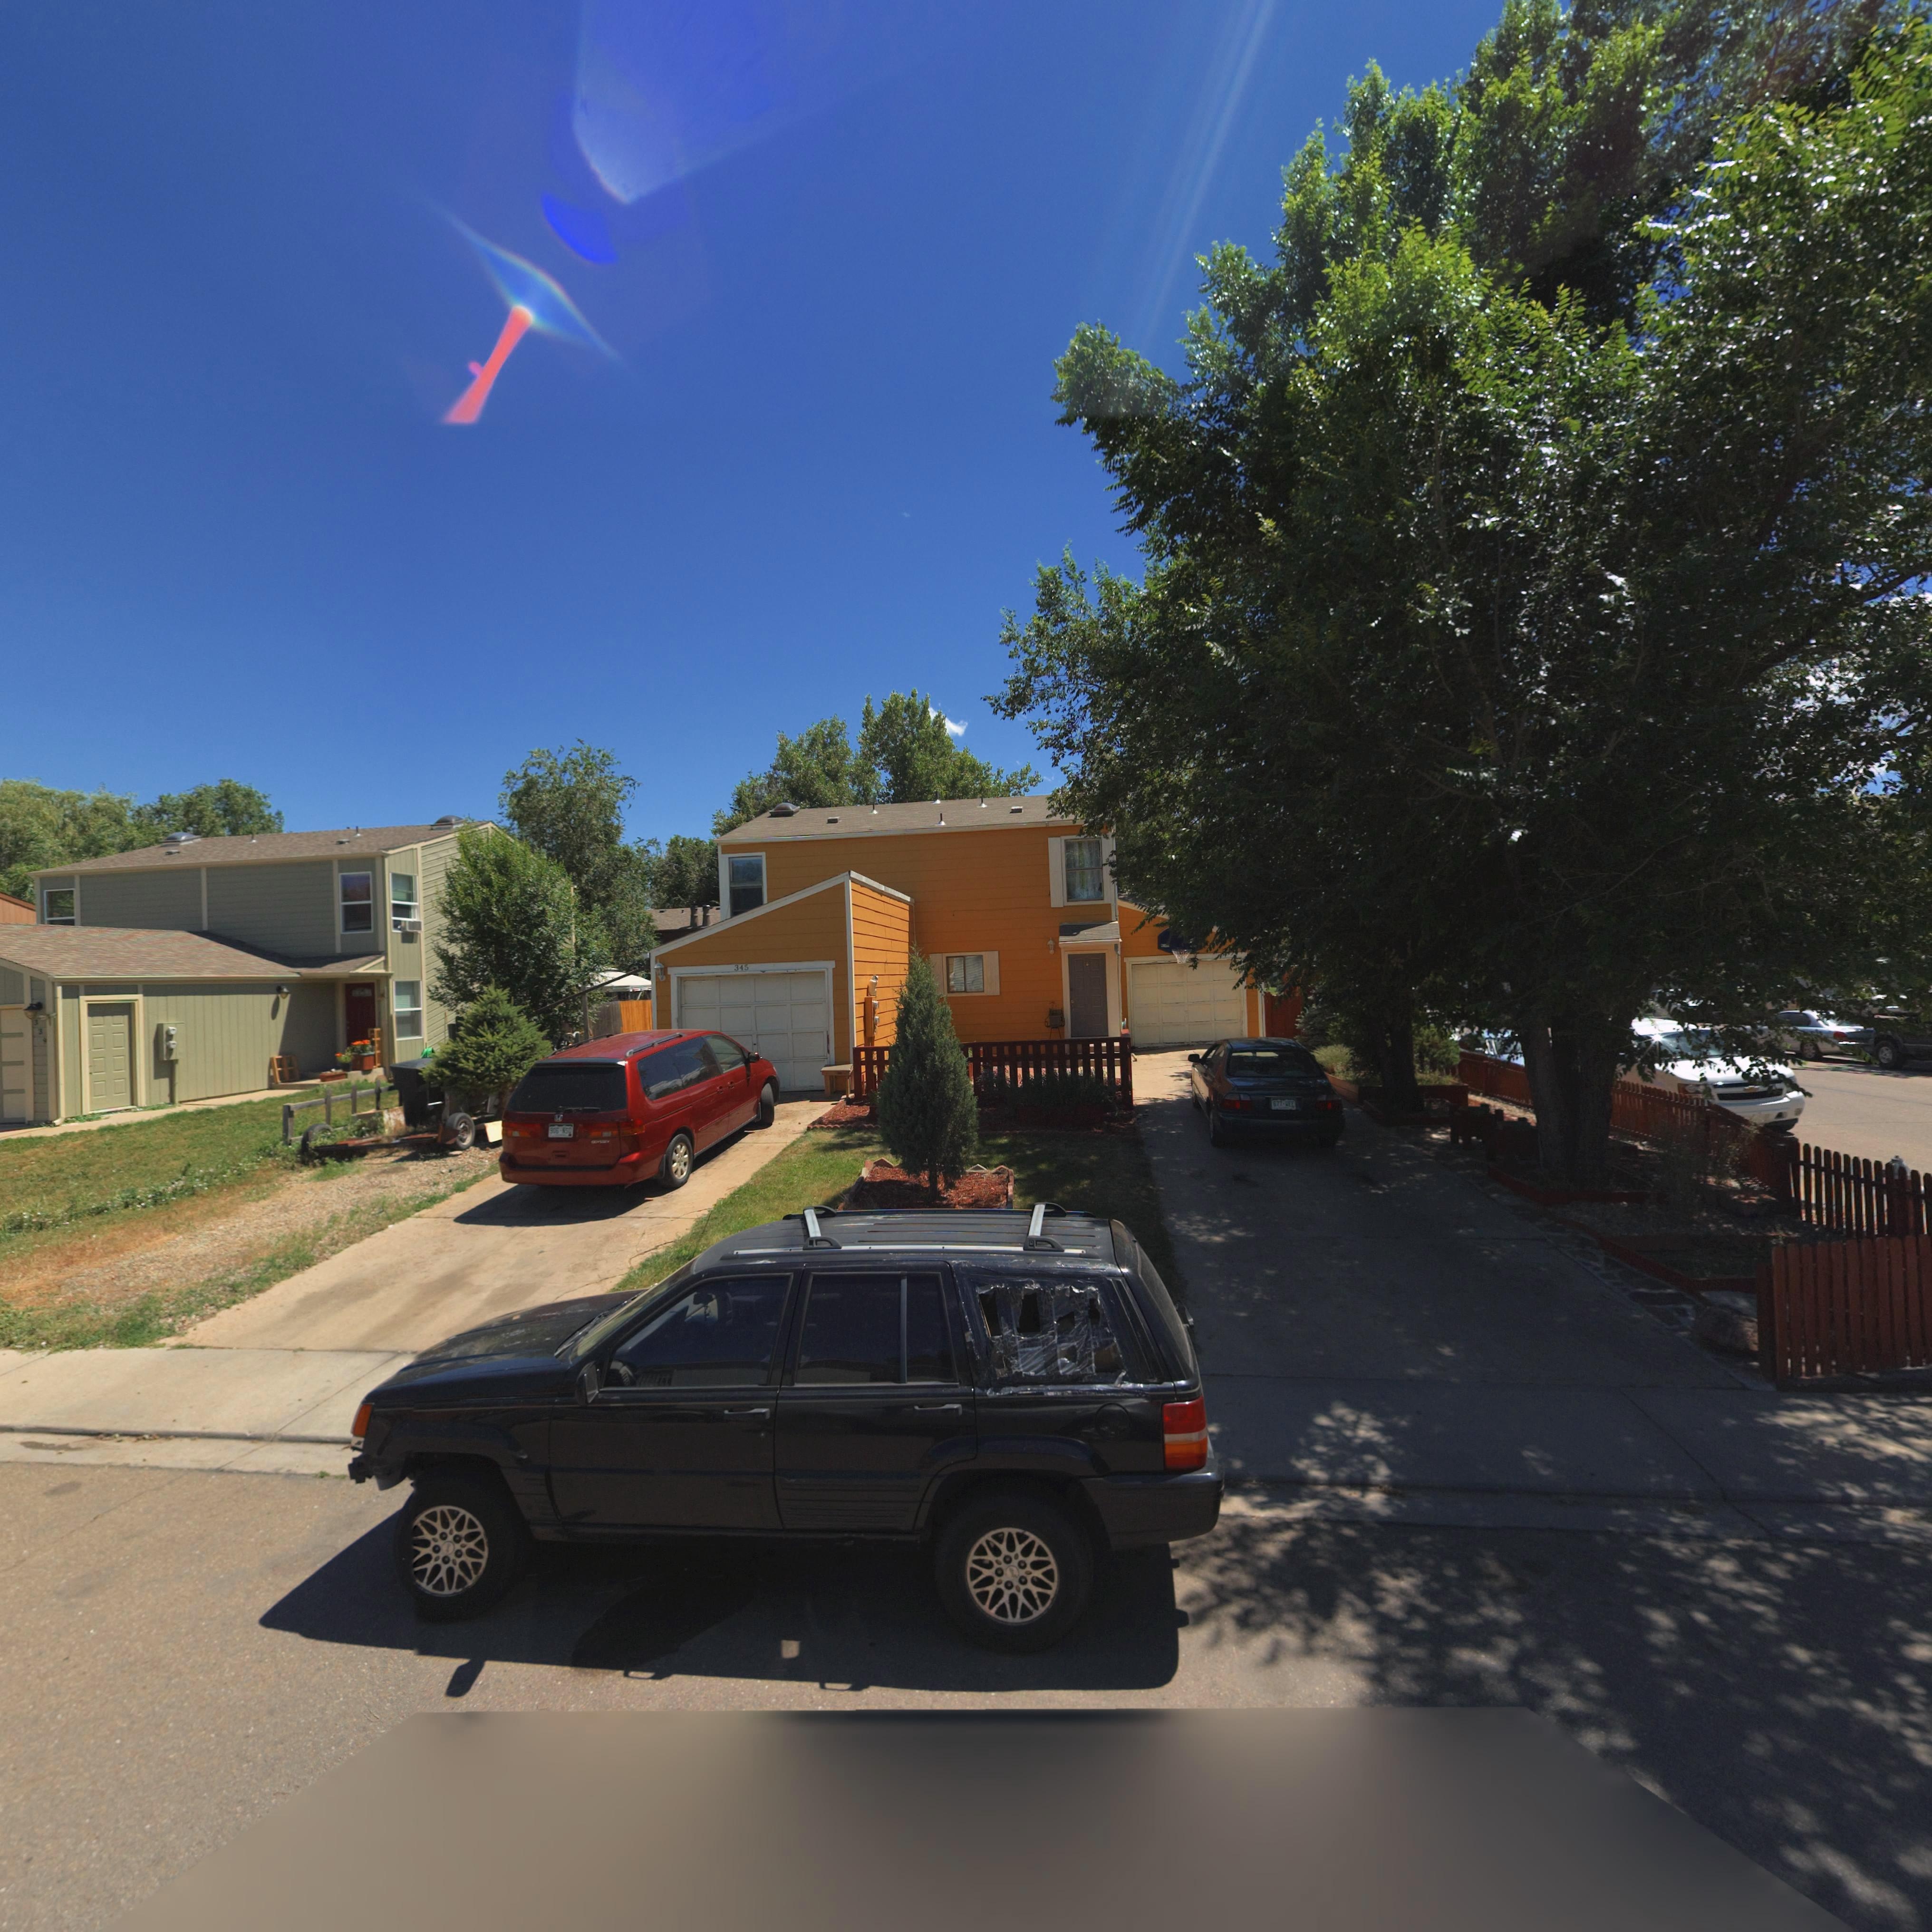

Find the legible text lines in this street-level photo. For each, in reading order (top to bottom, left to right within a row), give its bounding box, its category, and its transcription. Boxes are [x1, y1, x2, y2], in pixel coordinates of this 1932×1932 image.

[734, 964, 749, 971] StreetNumber: 345
[32, 1018, 47, 1044] StreetNumber: 339